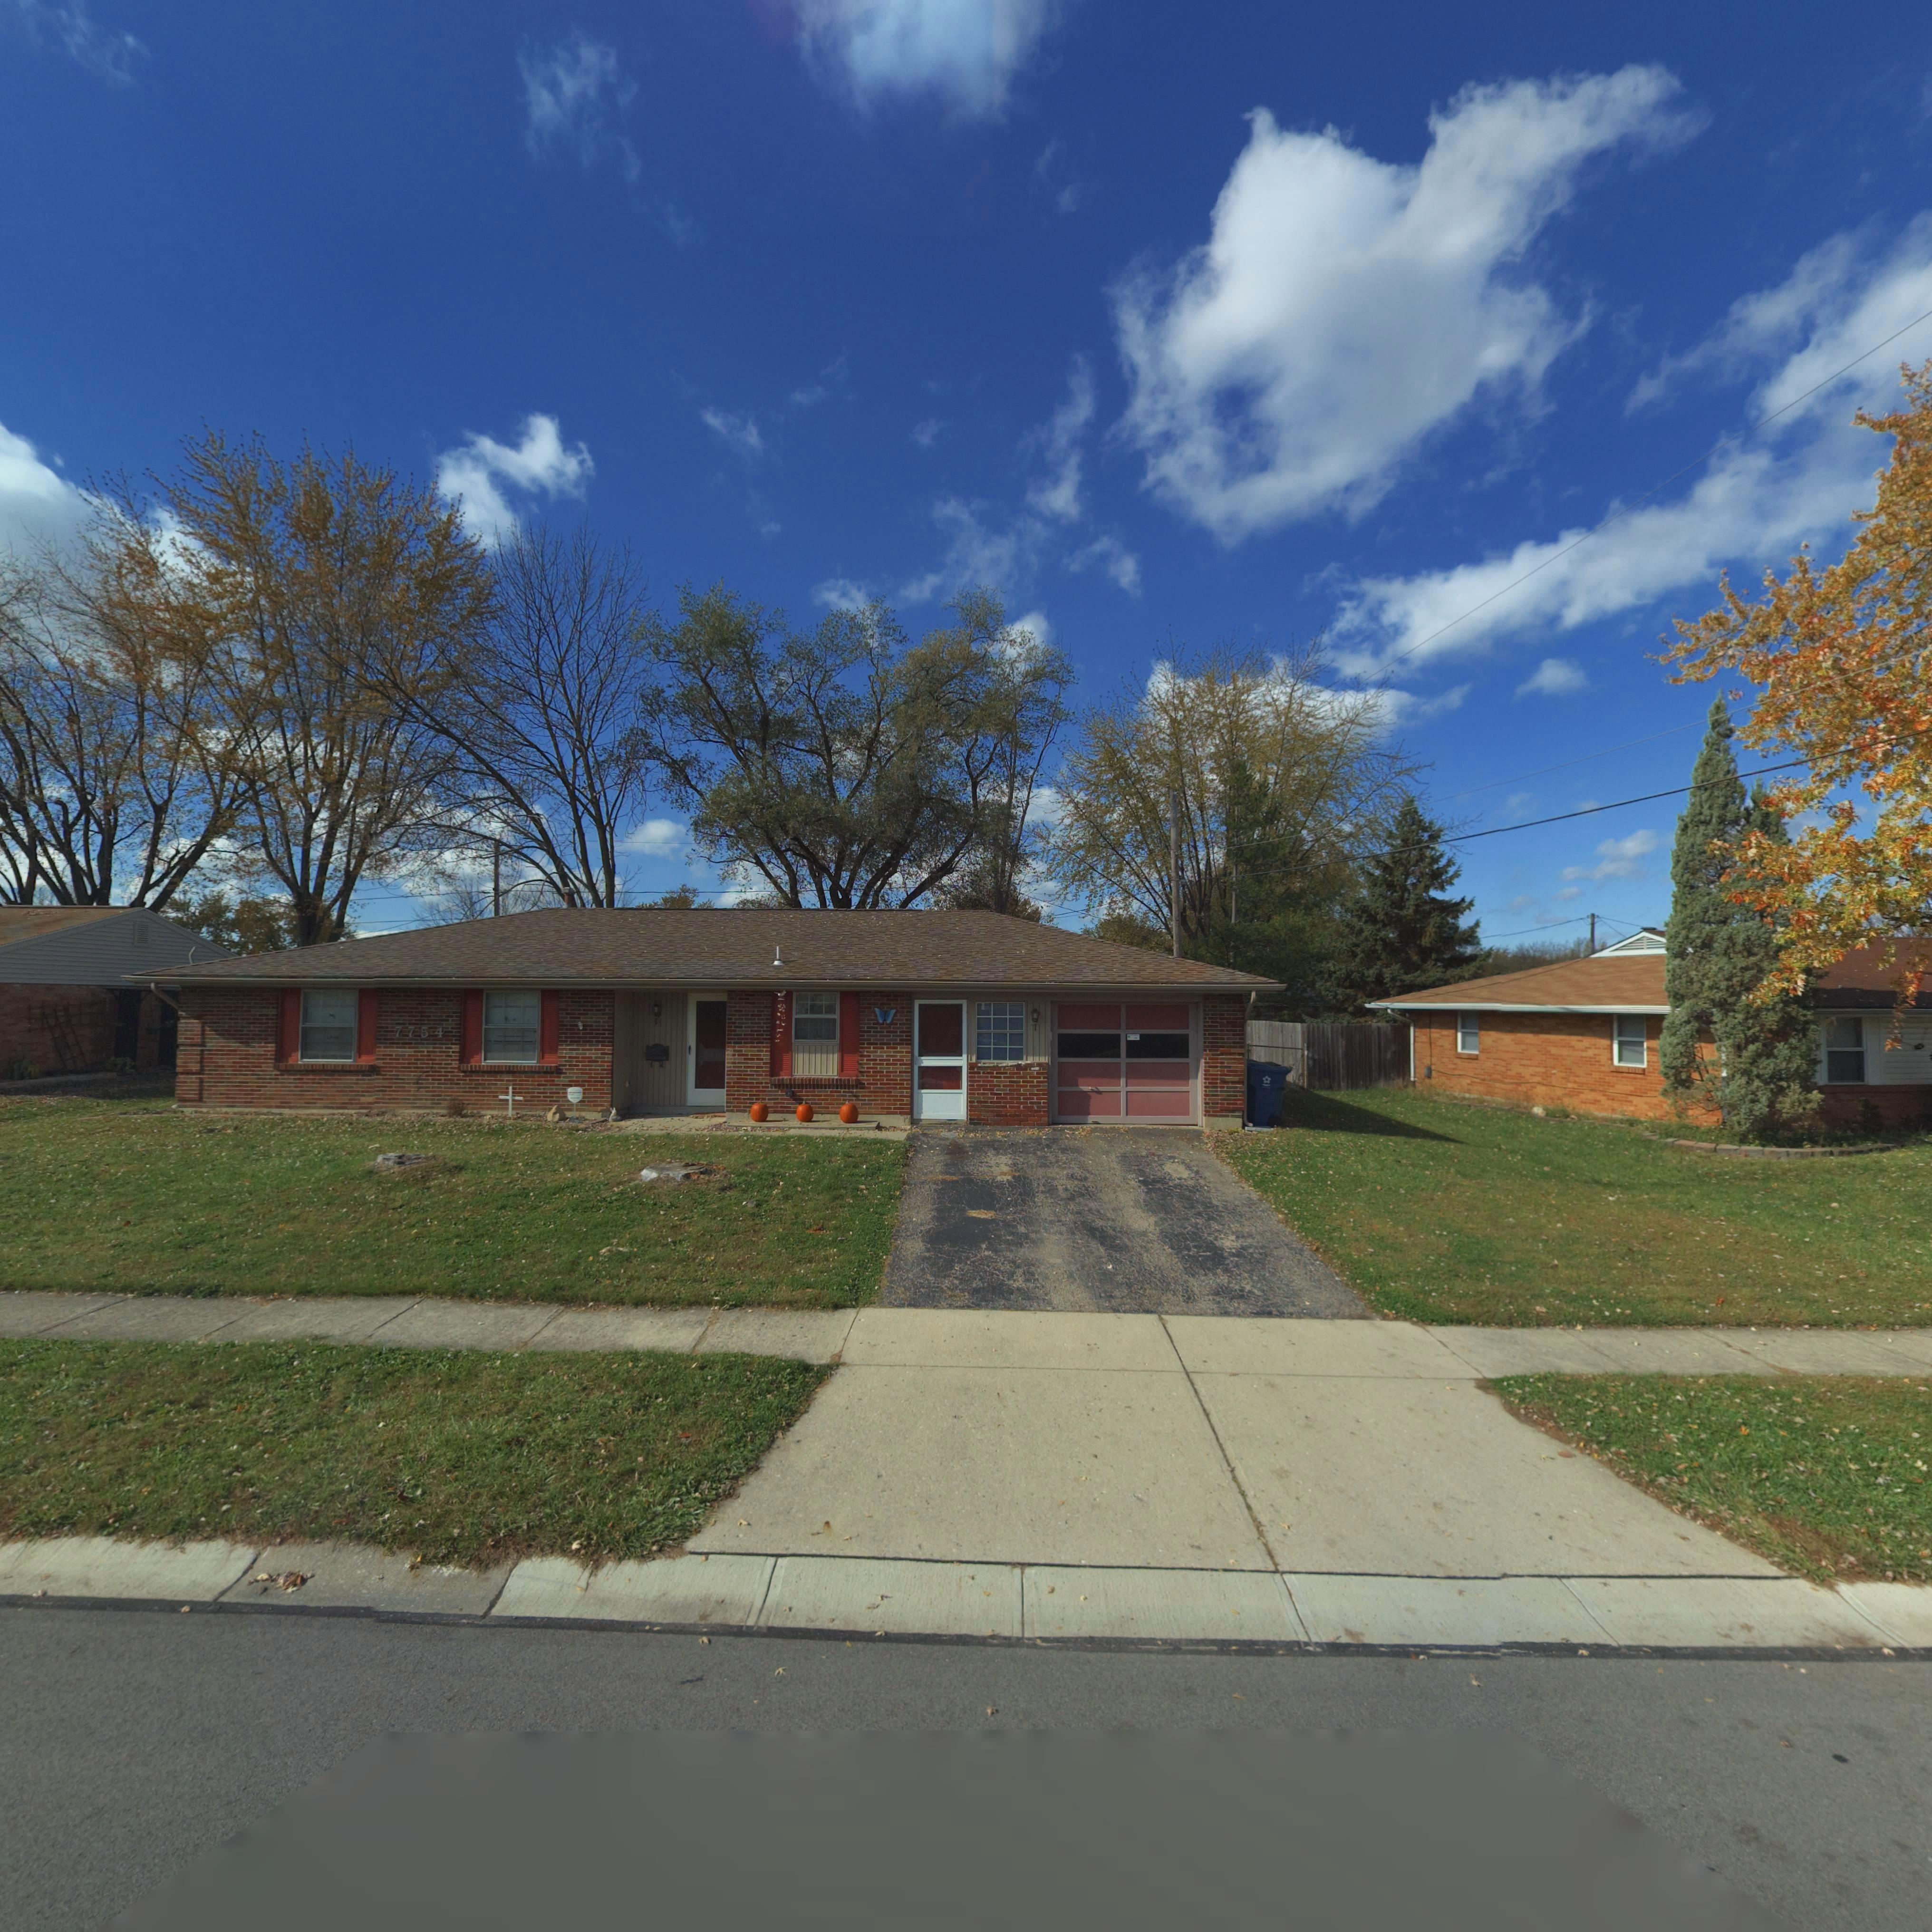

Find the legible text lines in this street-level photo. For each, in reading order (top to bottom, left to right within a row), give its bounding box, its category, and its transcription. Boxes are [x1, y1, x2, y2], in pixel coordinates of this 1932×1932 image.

[394, 1025, 444, 1038] StreetNumber: 7754